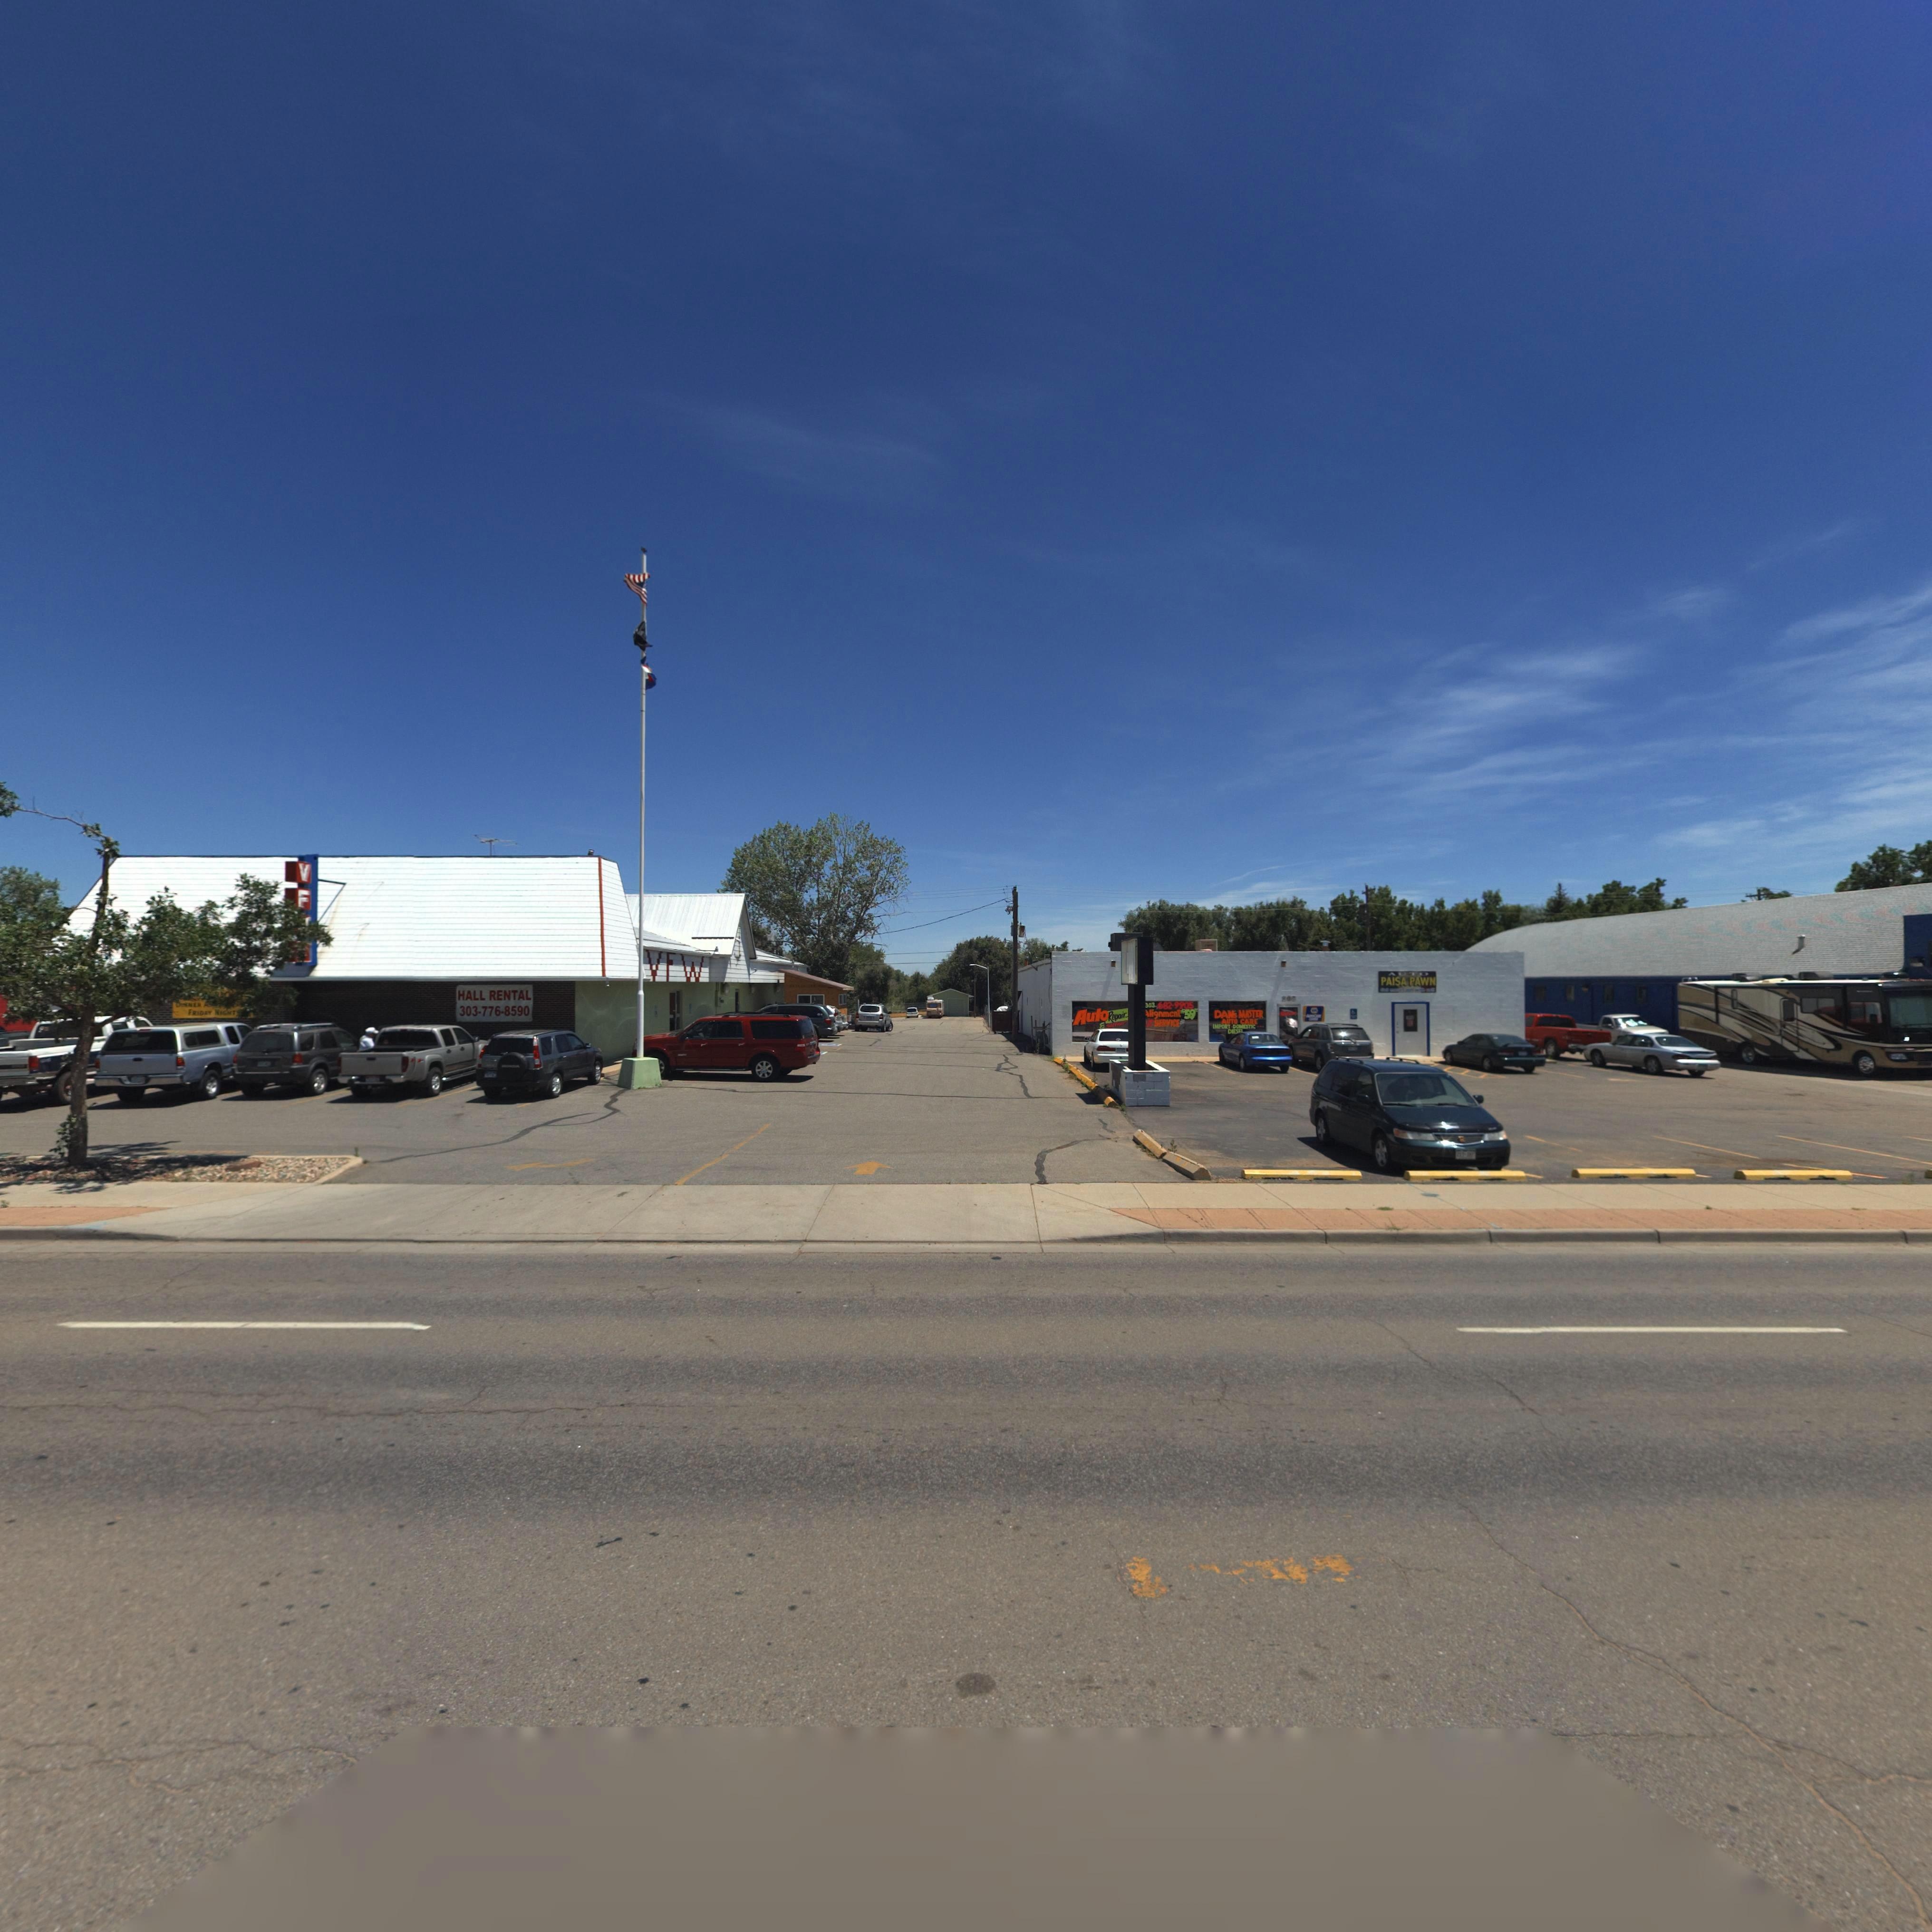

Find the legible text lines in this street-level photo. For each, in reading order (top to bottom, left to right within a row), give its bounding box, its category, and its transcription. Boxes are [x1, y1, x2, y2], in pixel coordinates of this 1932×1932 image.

[297, 861, 311, 908] BusinessName: VF
[645, 949, 705, 983] BusinessName: VFW
[1387, 972, 1430, 976] BusinessName: AUTO
[1380, 976, 1436, 985] BusinessName: PAISA PAWN
[1281, 995, 1296, 1003] StreetNumber: 208
[459, 1006, 529, 1016] PhoneNumber: 303-776 8590